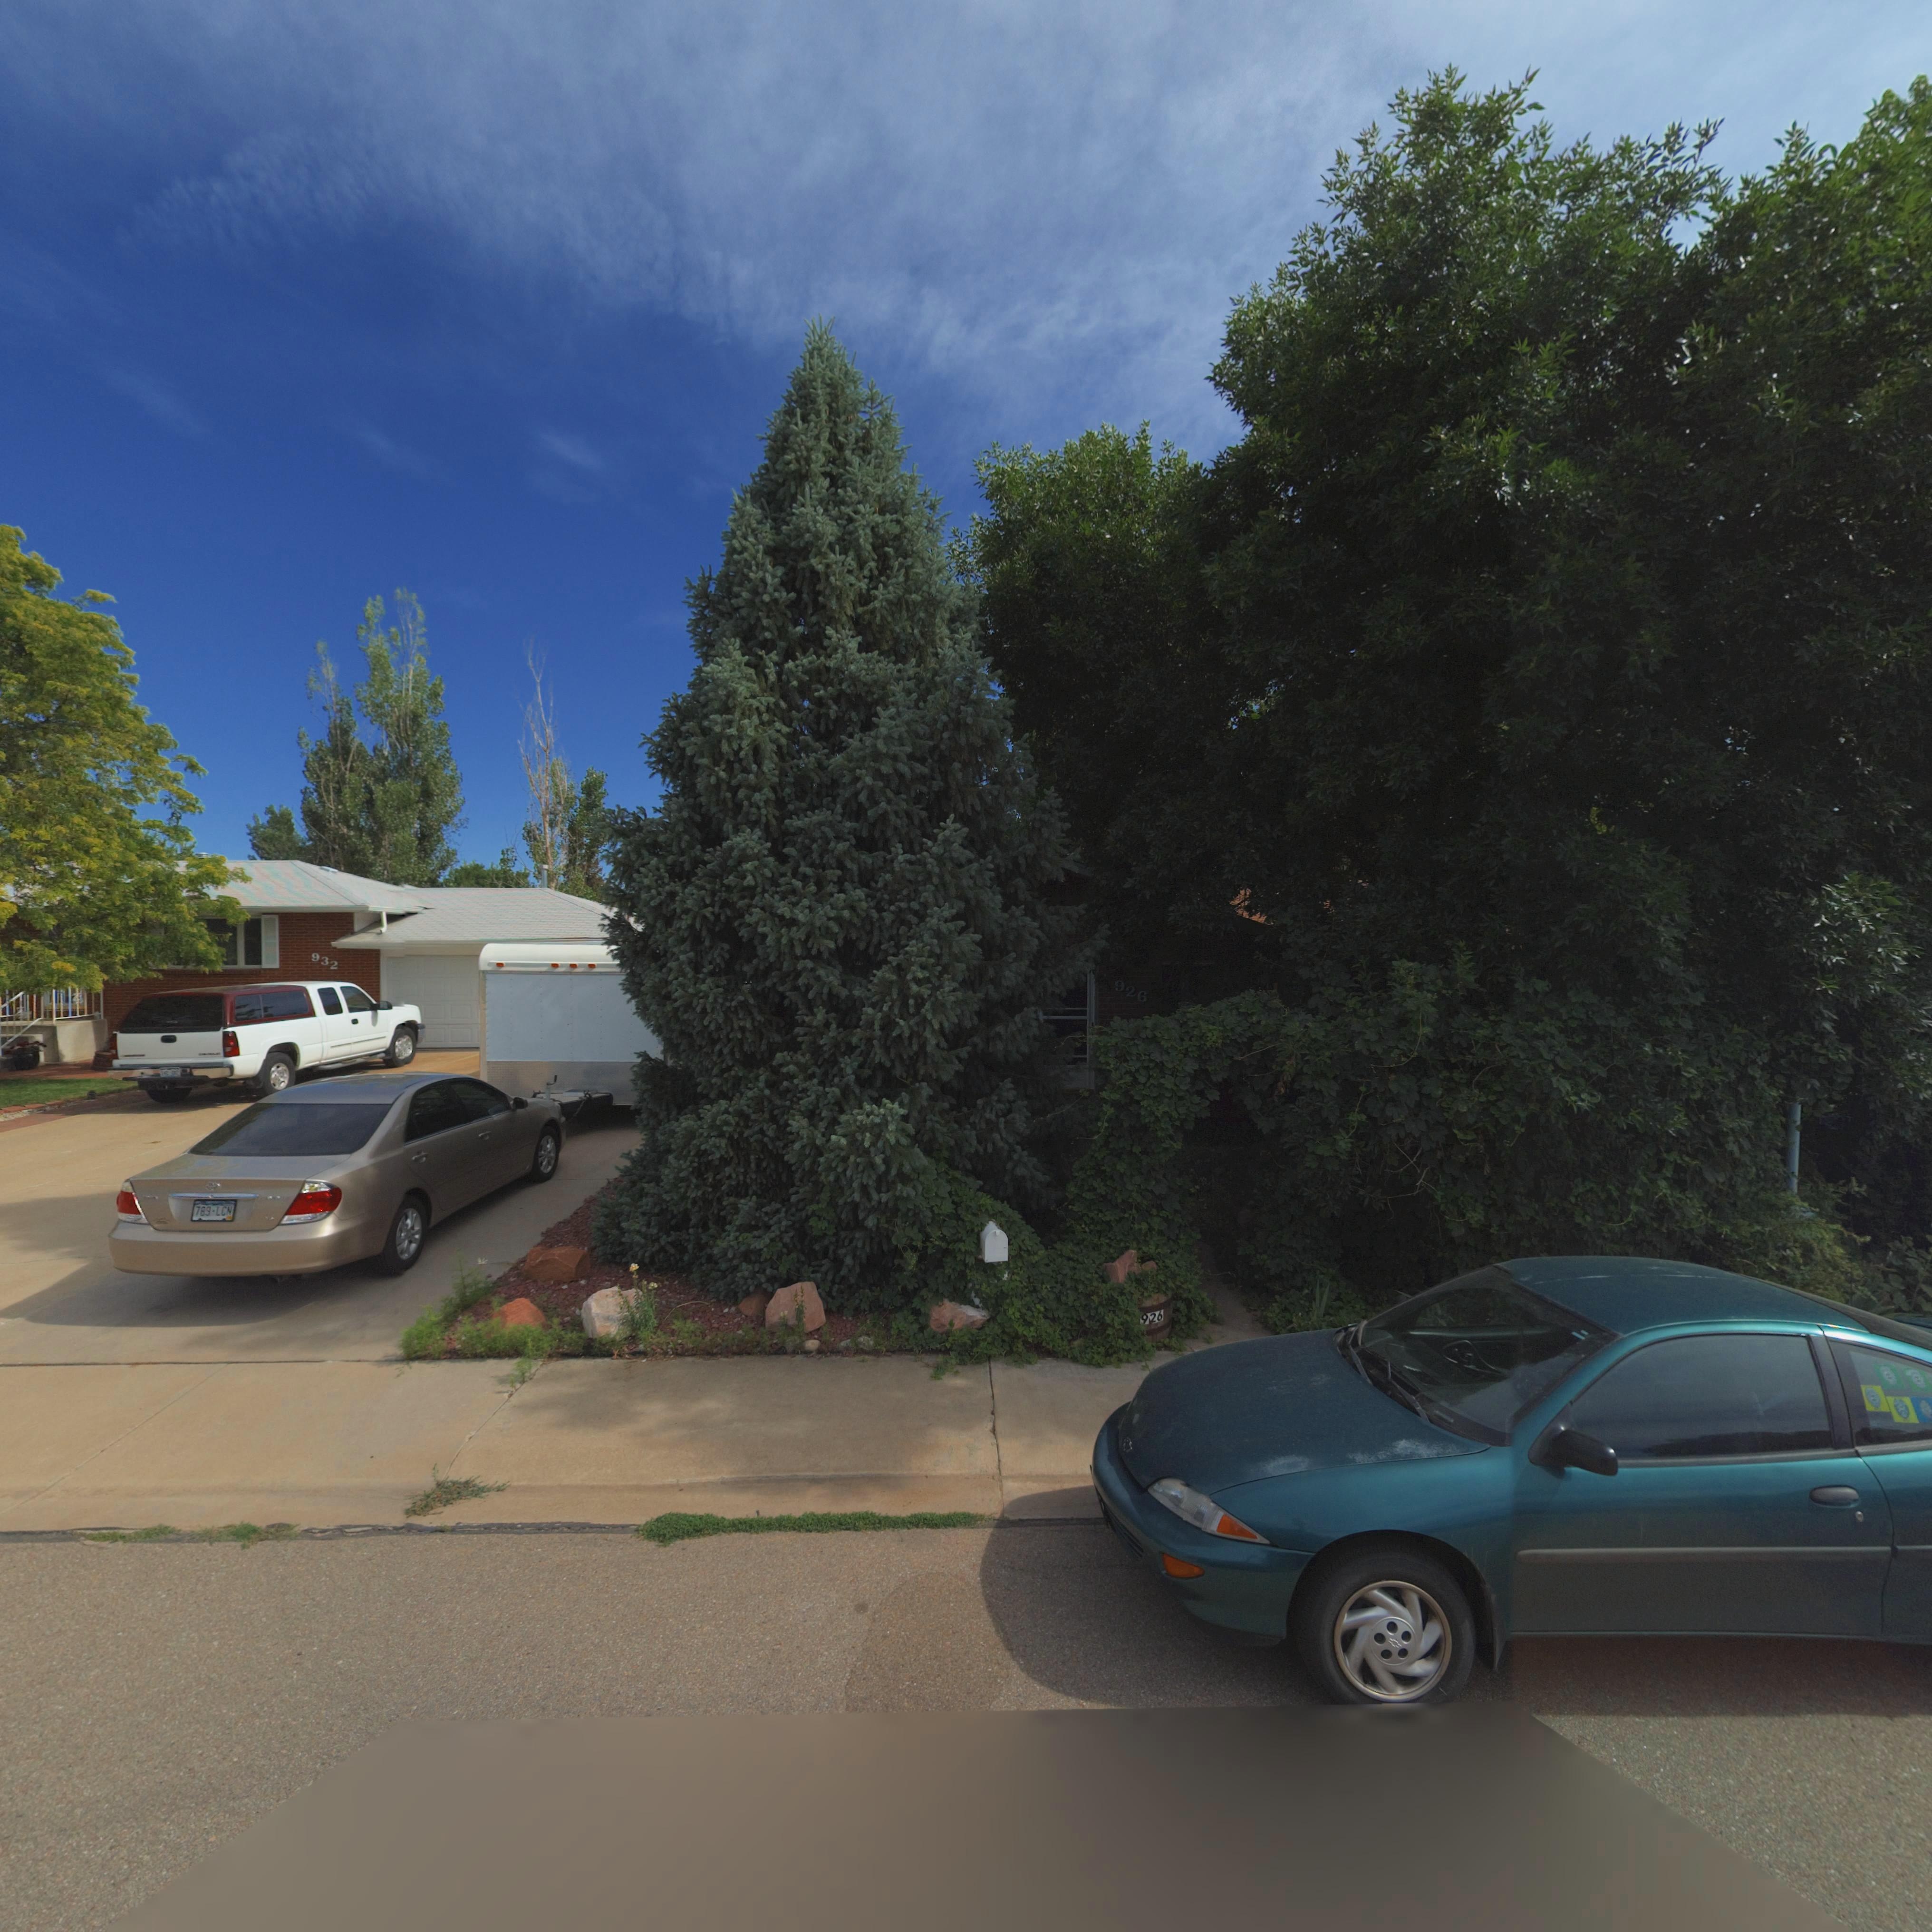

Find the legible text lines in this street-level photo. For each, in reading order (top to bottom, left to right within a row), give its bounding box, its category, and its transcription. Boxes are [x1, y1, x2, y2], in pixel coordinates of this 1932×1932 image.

[310, 951, 338, 970] StreetNumber: 932
[1141, 1310, 1163, 1324] StreetNumber: 926